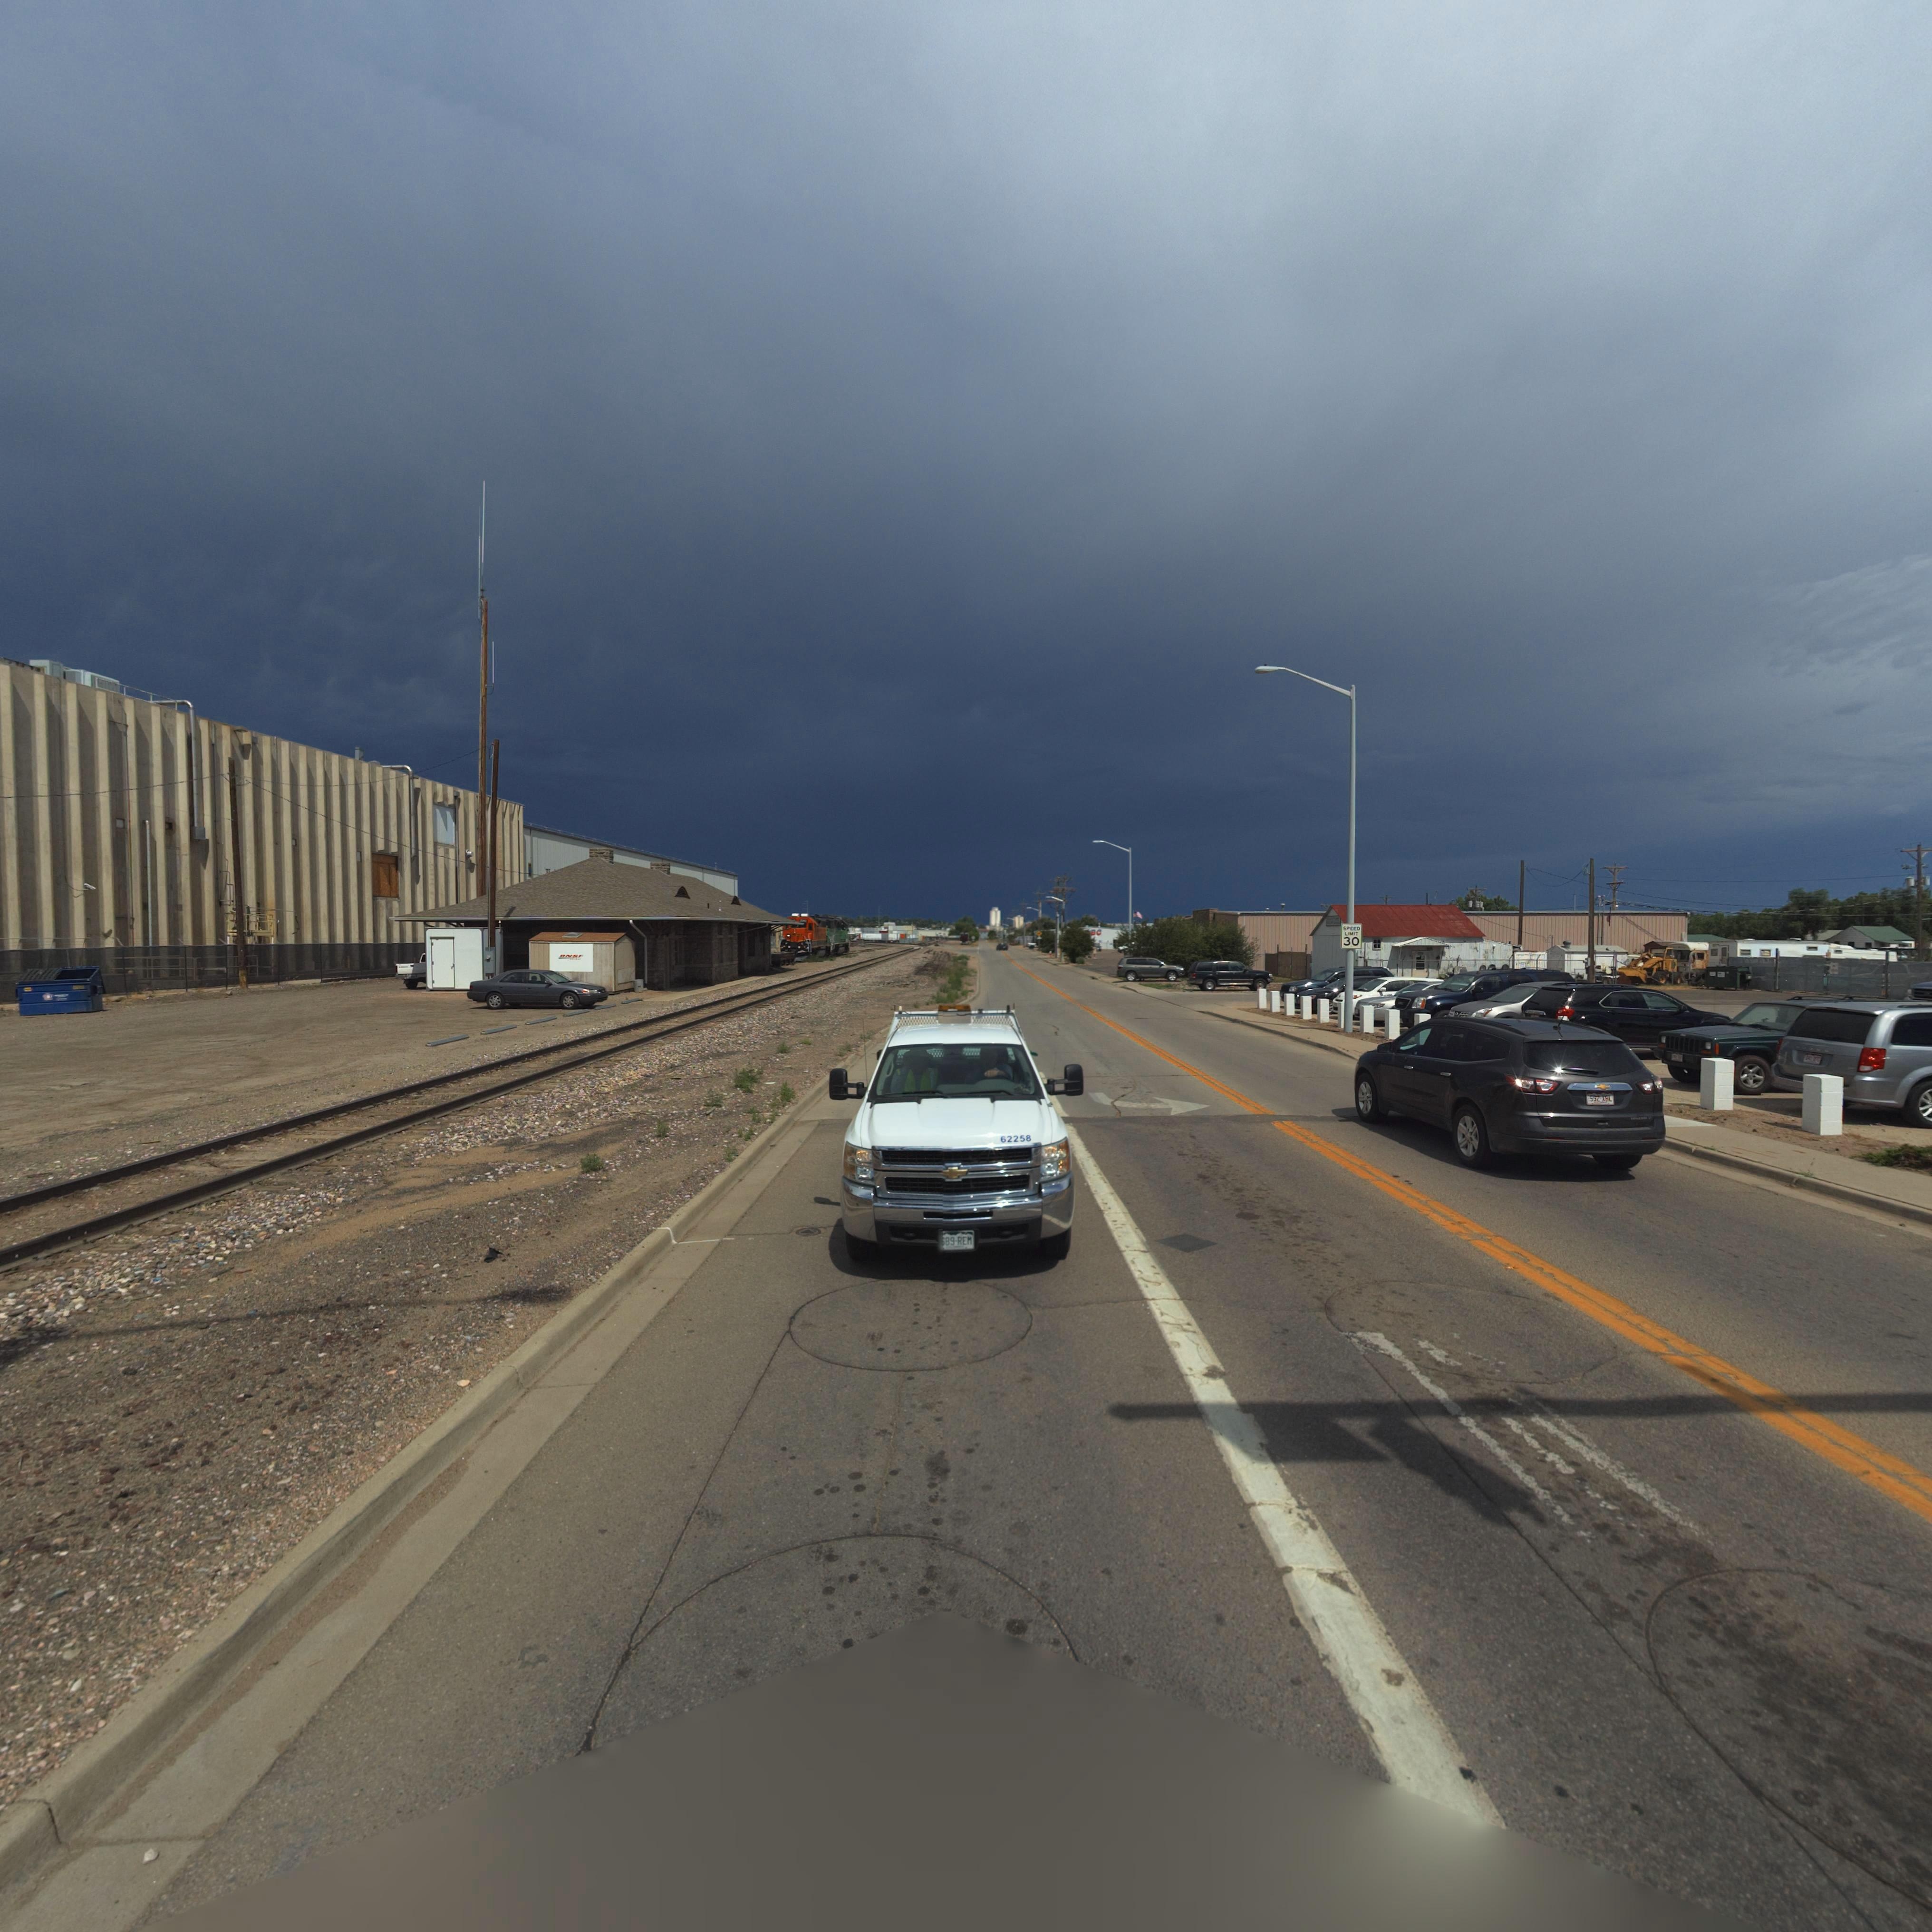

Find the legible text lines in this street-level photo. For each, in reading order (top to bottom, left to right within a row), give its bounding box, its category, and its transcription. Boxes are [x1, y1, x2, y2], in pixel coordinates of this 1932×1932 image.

[559, 954, 584, 957] BusinessName: BNSF